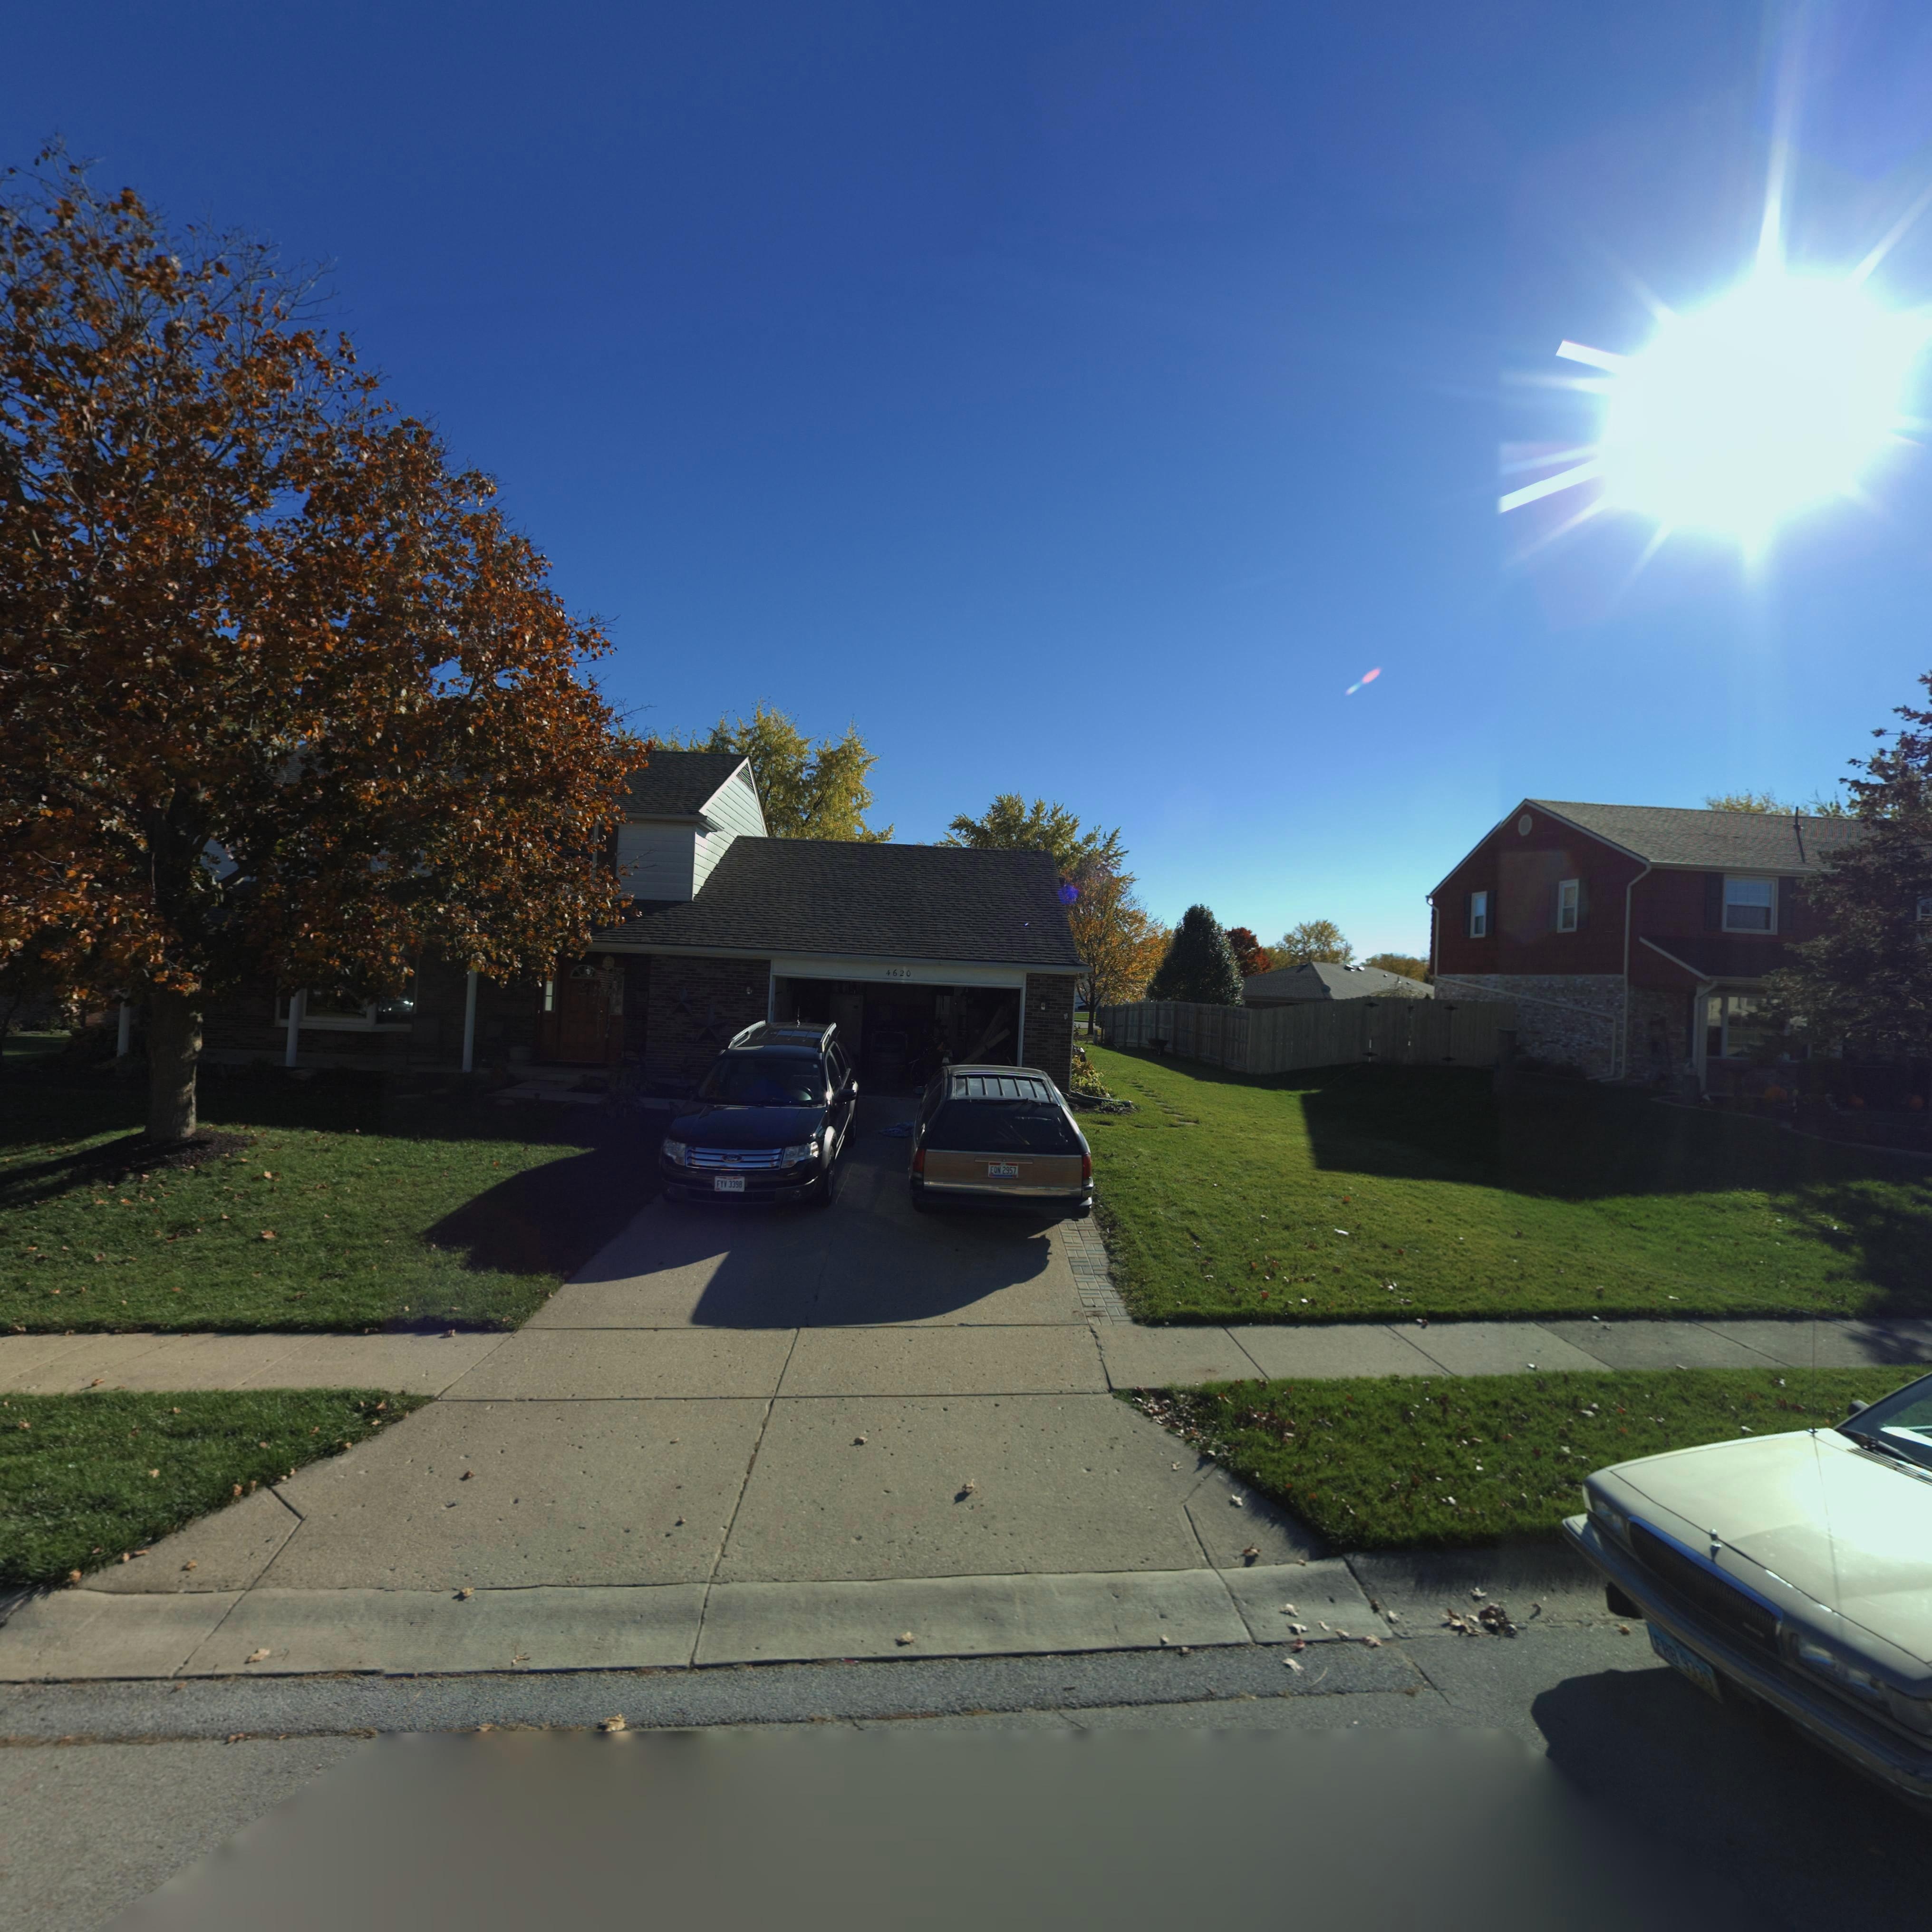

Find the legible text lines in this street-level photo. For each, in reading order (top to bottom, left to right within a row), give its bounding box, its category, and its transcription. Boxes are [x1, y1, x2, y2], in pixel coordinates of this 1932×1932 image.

[885, 969, 911, 977] StreetNumber: 4620